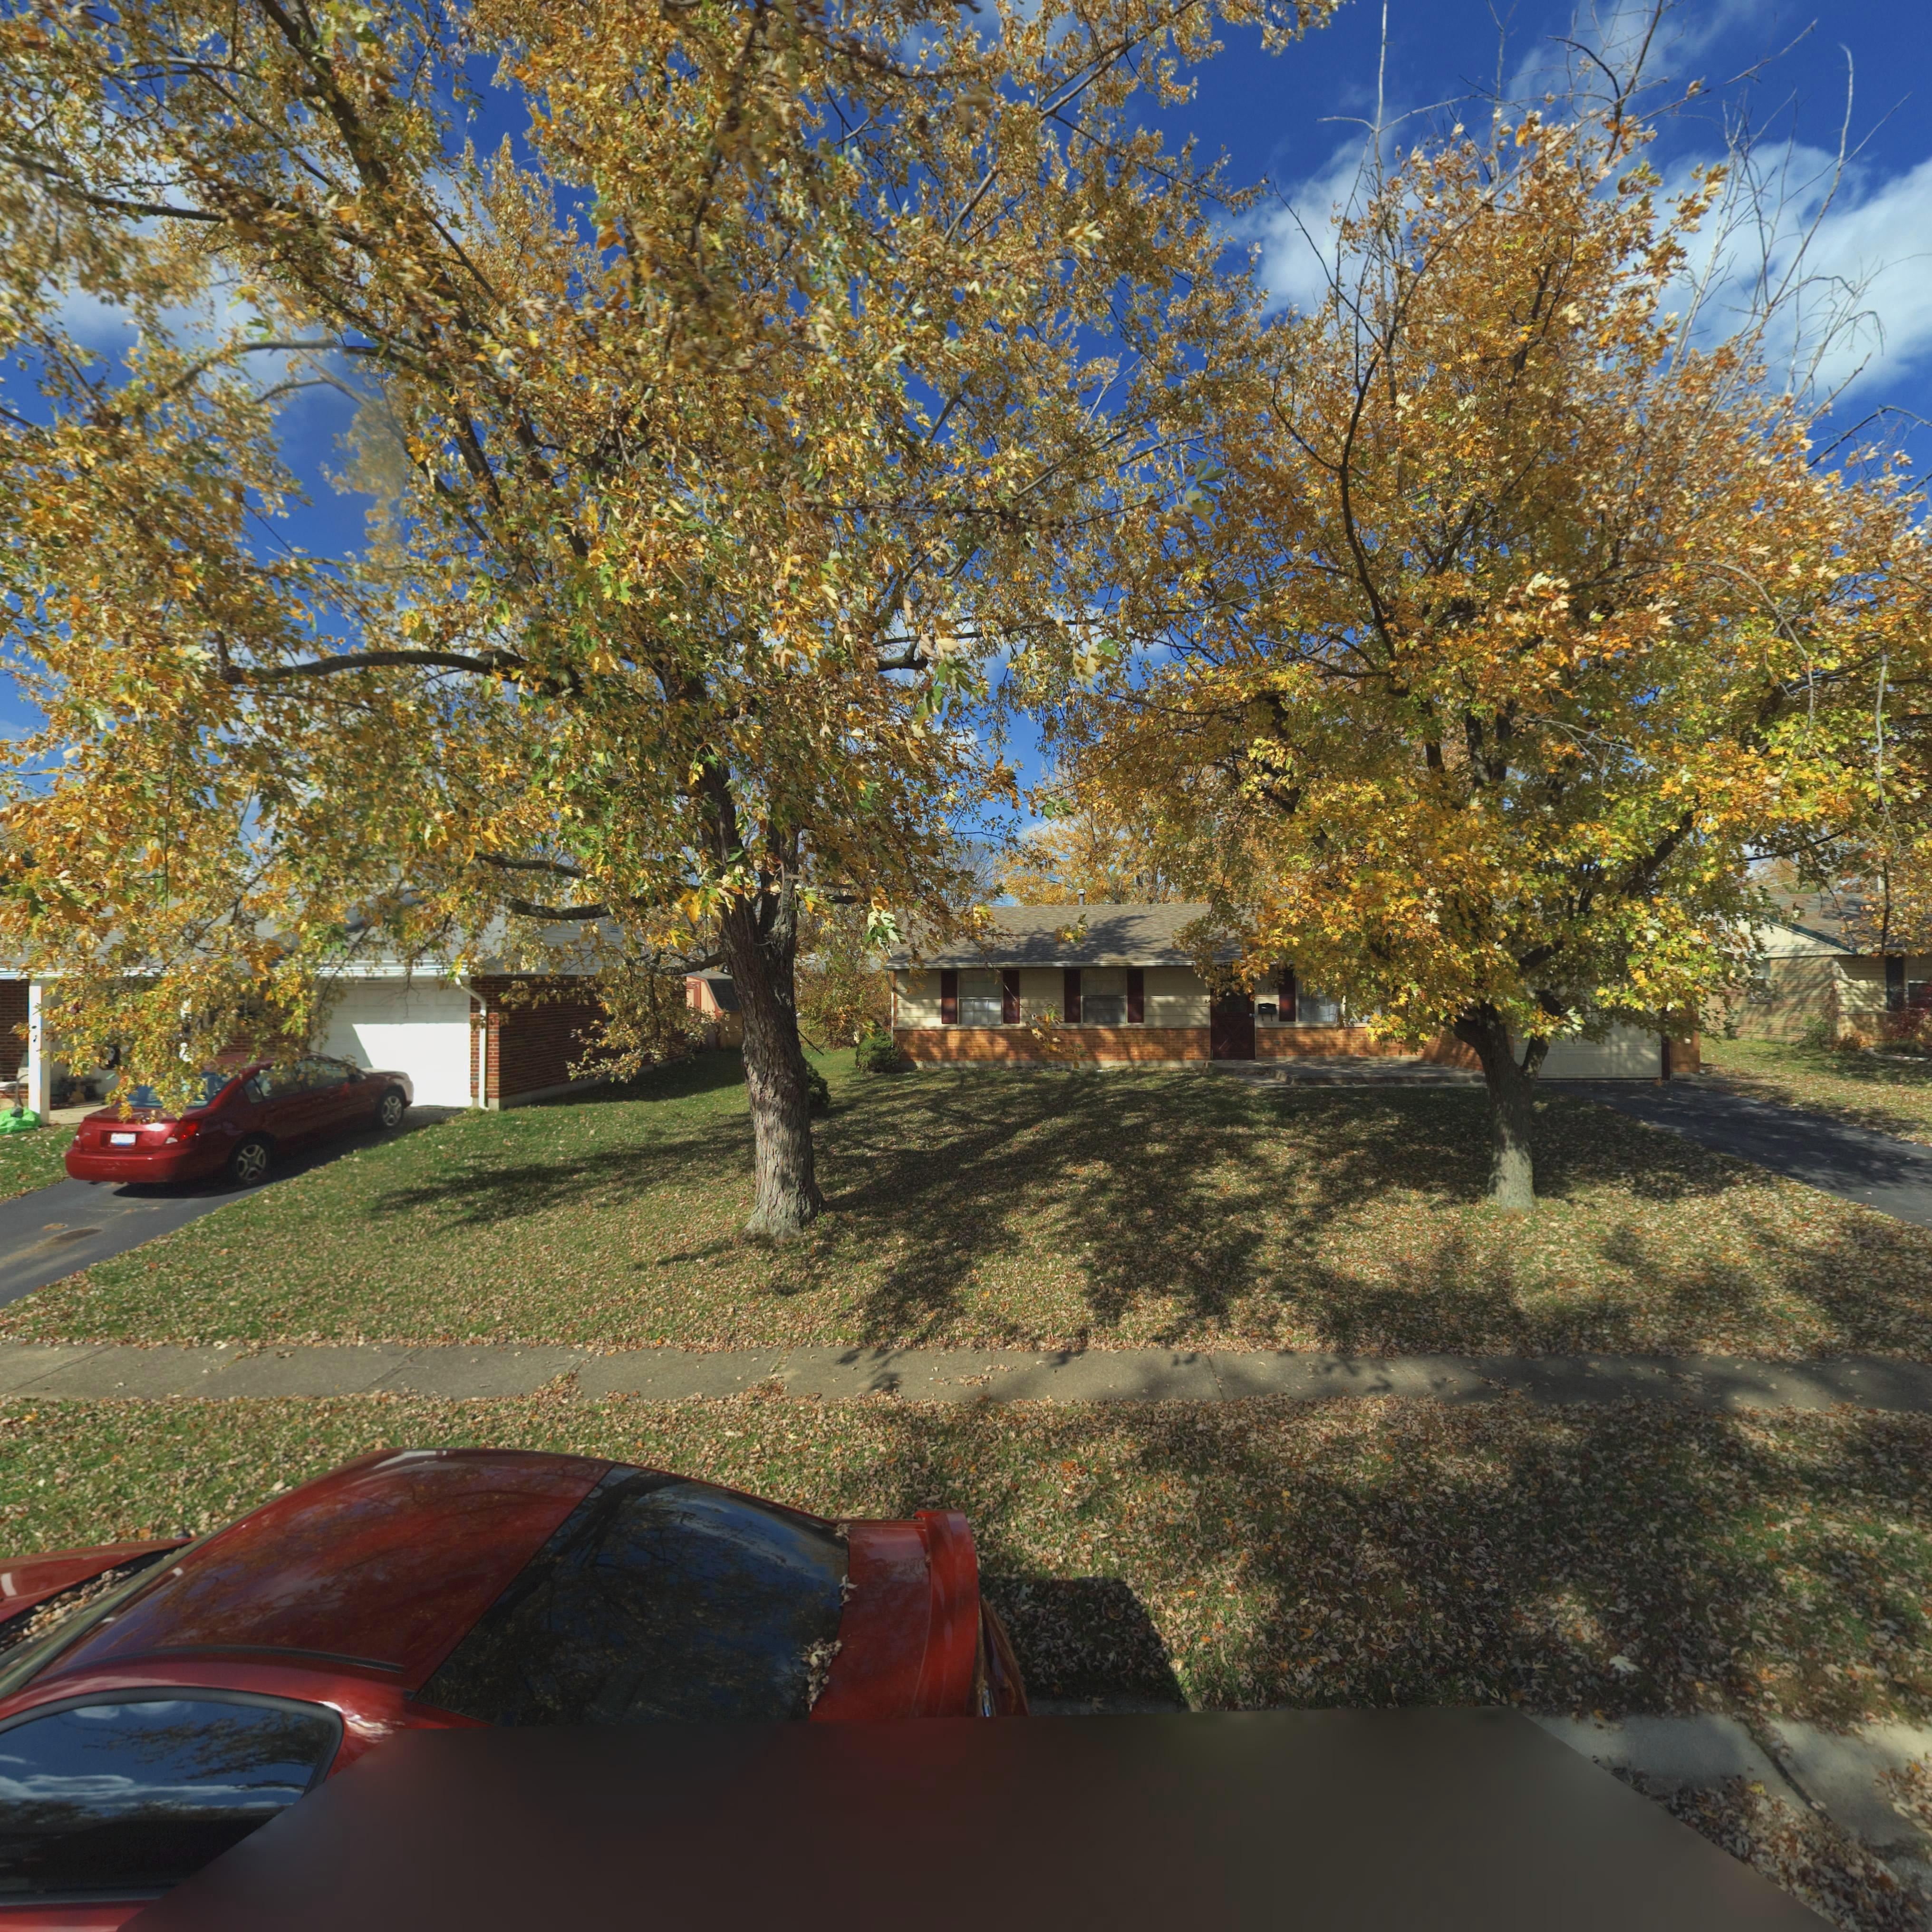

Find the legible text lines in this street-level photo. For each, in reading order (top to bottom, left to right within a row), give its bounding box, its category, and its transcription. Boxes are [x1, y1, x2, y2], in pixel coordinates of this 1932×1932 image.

[1257, 986, 1275, 993] StreetNumber: 6721